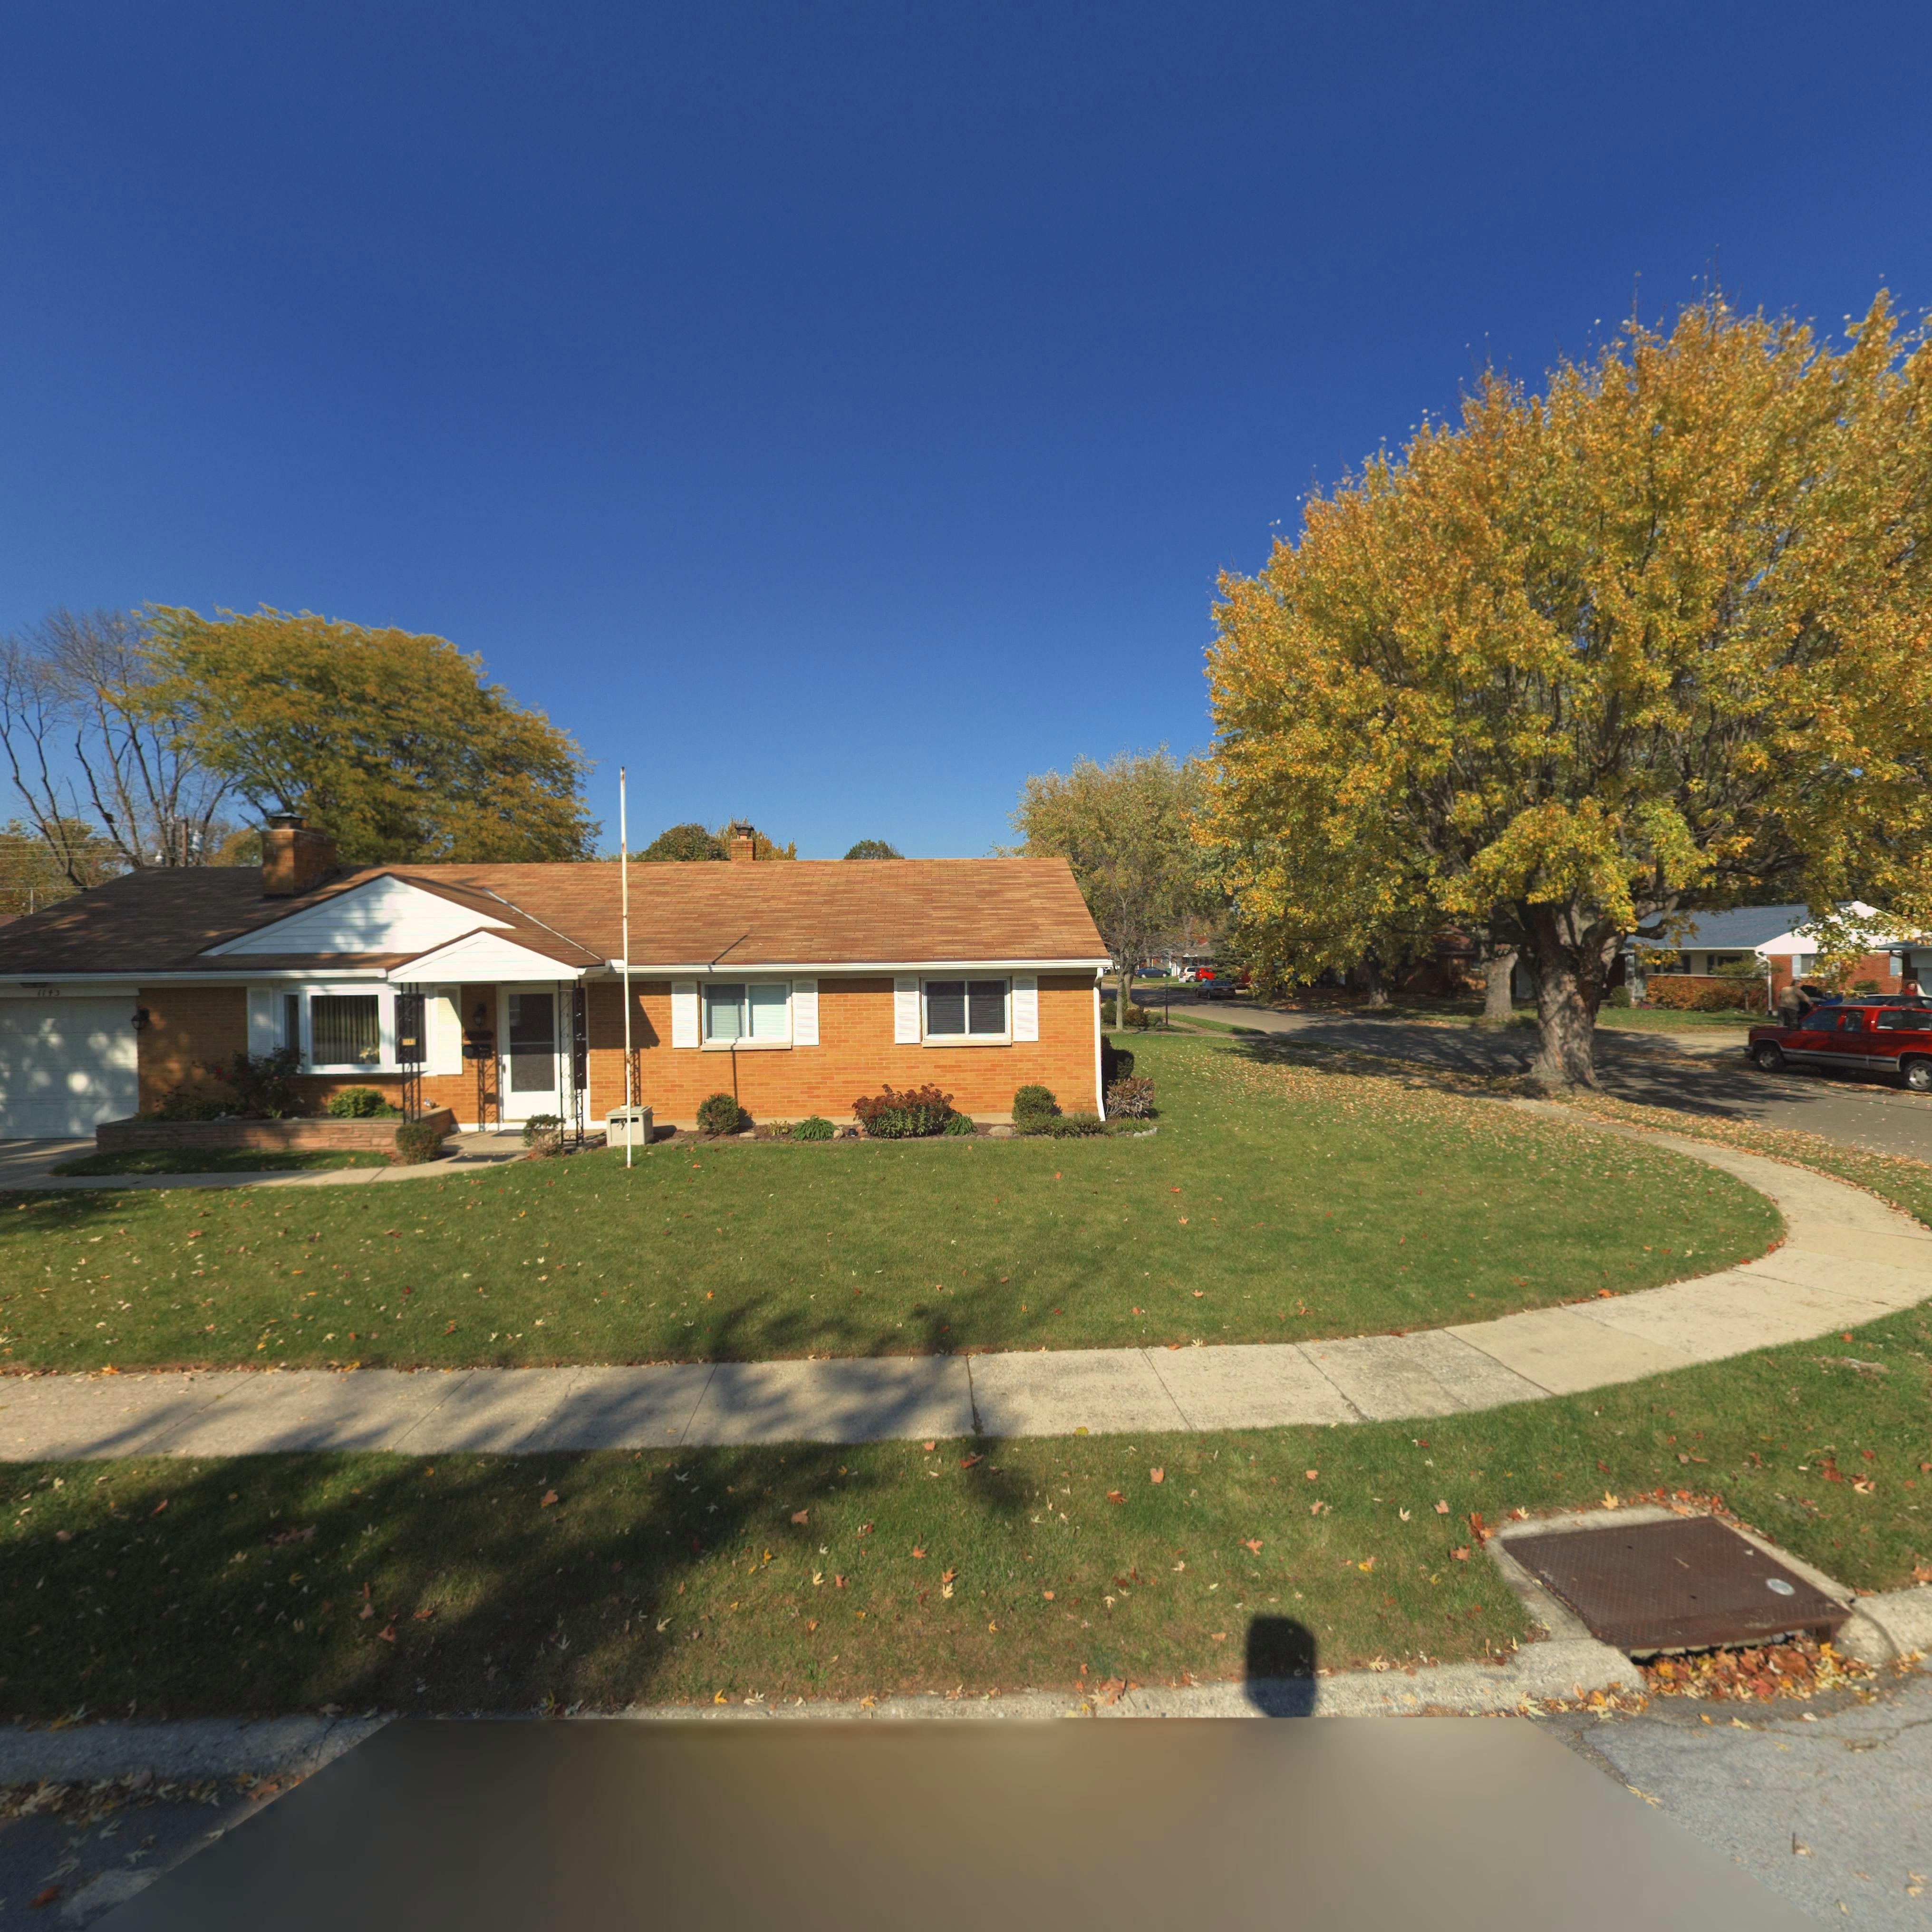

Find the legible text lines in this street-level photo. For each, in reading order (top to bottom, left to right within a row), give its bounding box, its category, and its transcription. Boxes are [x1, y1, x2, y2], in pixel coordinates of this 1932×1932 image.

[37, 988, 60, 997] StreetNumber: 1143